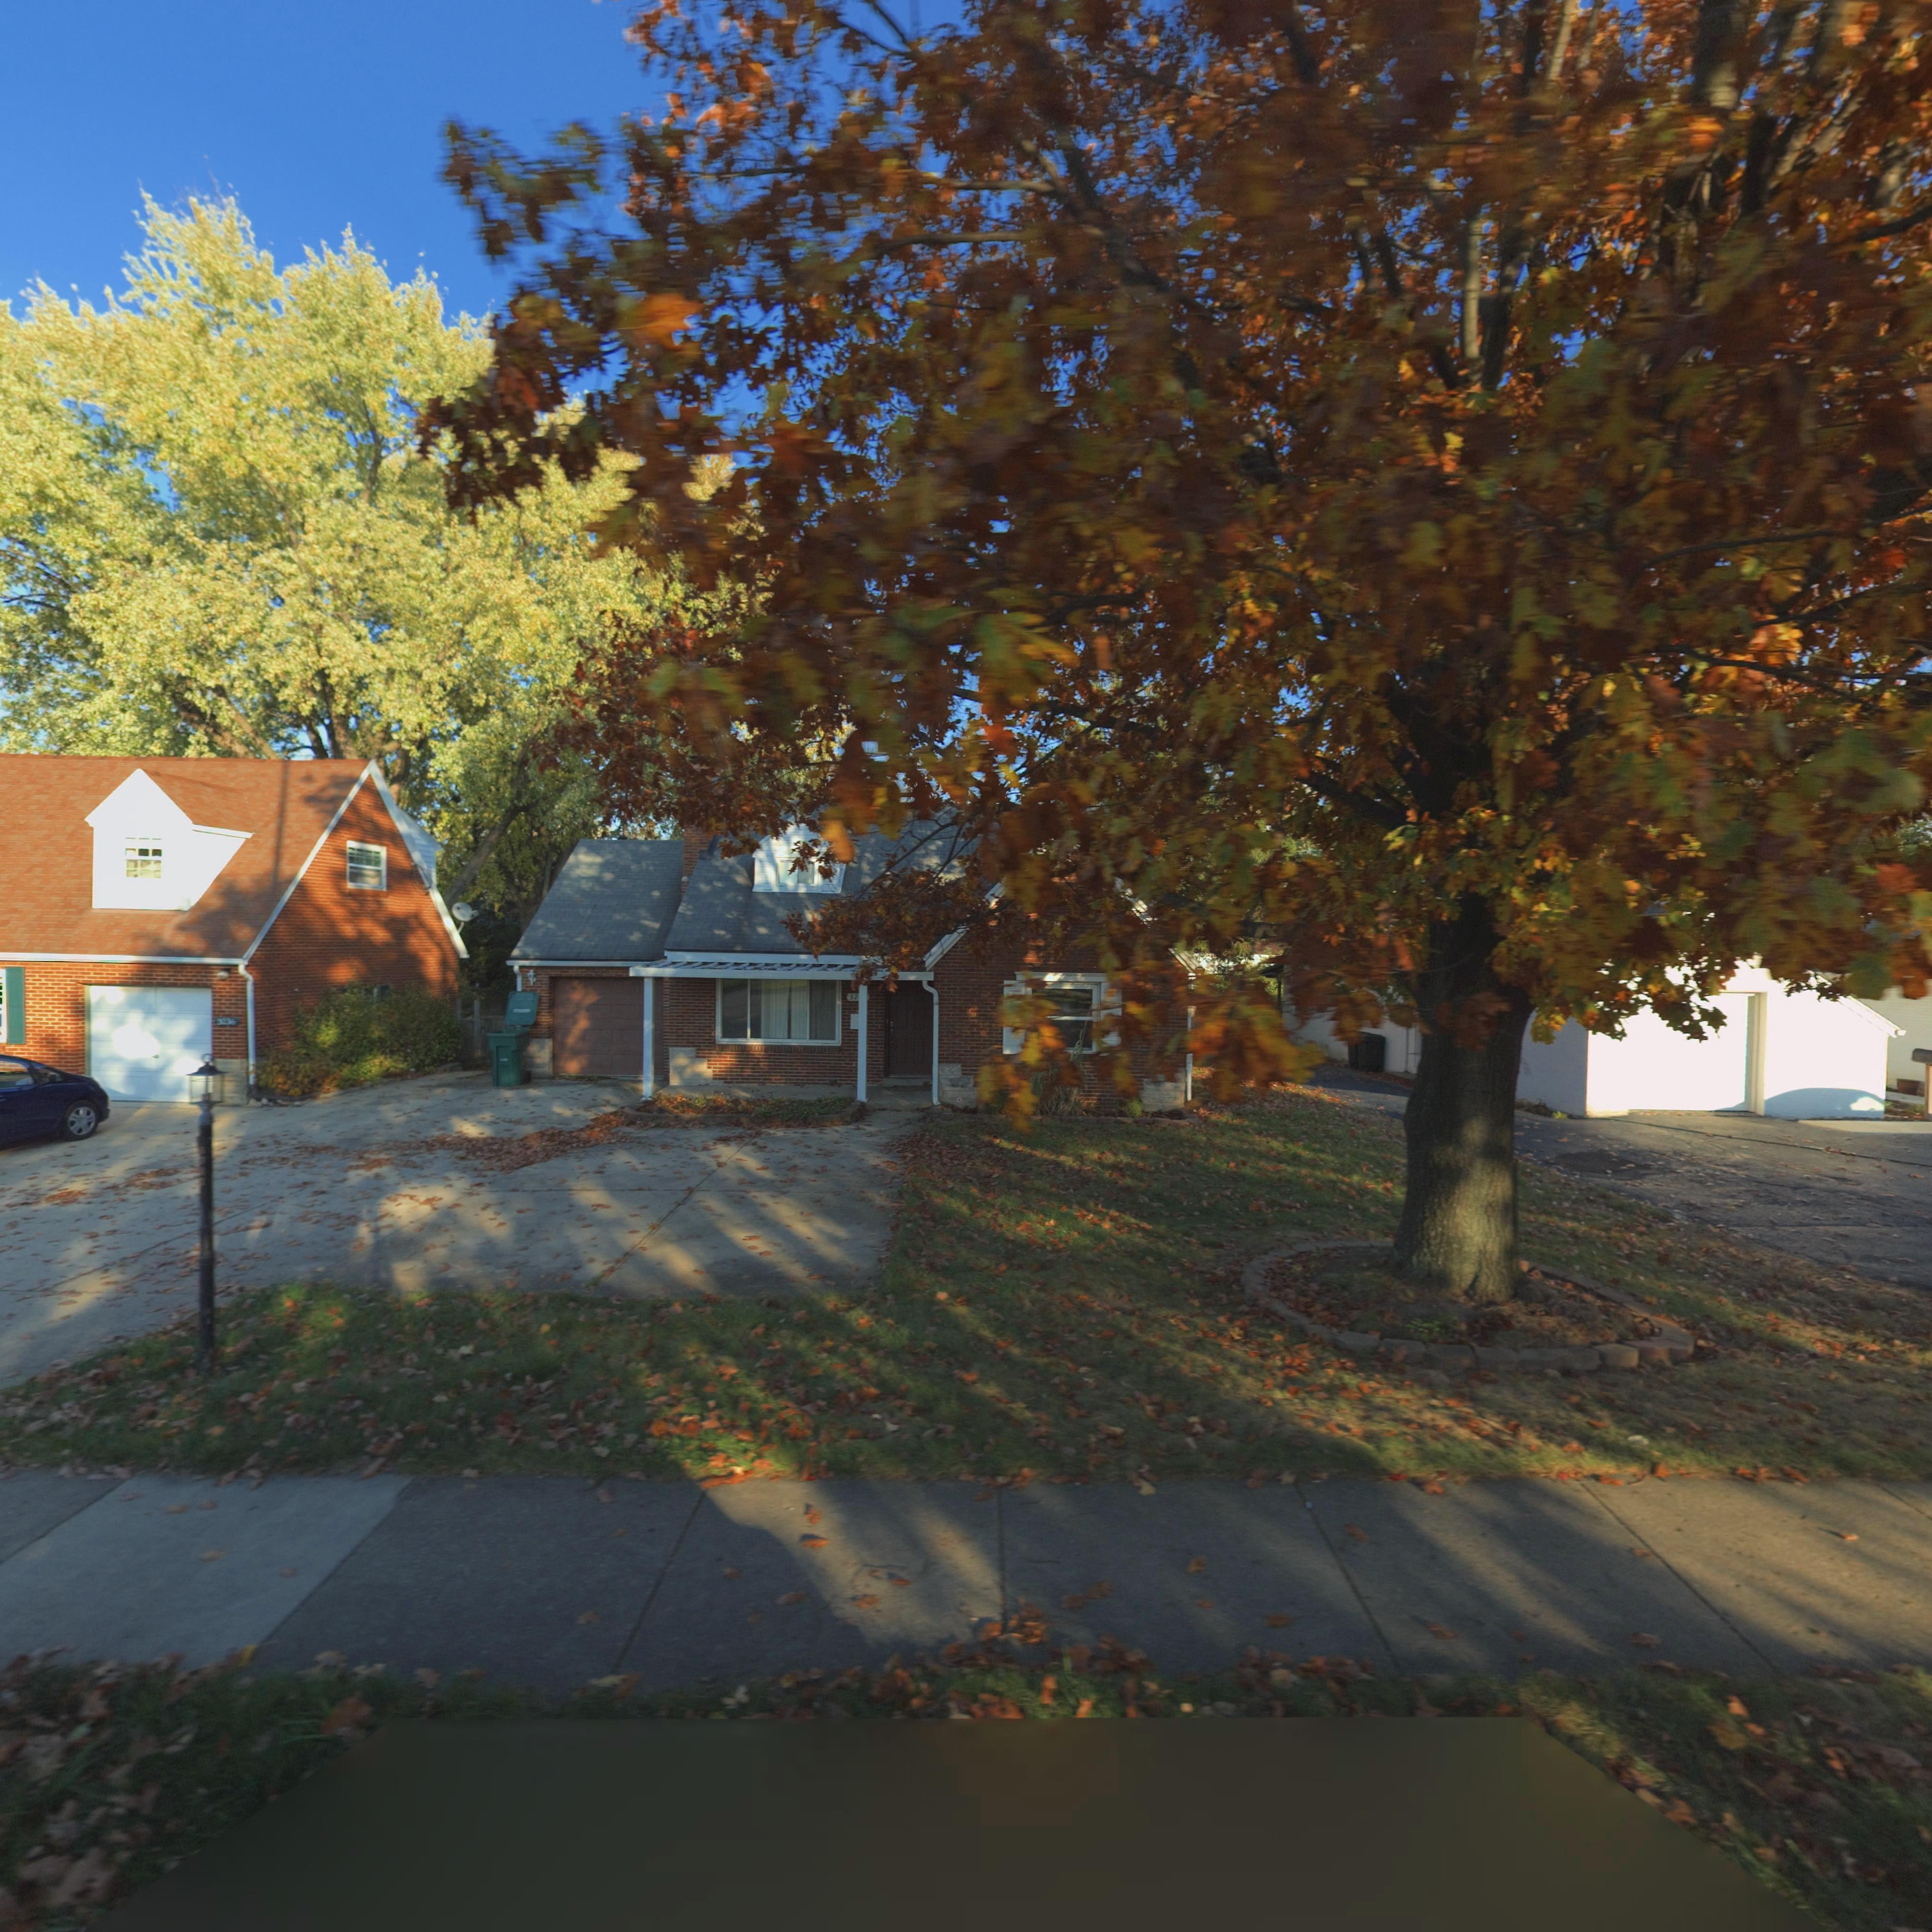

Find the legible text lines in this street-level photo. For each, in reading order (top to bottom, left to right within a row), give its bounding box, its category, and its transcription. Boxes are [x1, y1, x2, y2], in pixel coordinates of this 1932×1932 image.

[849, 994, 859, 1001] StreetNumber: 32